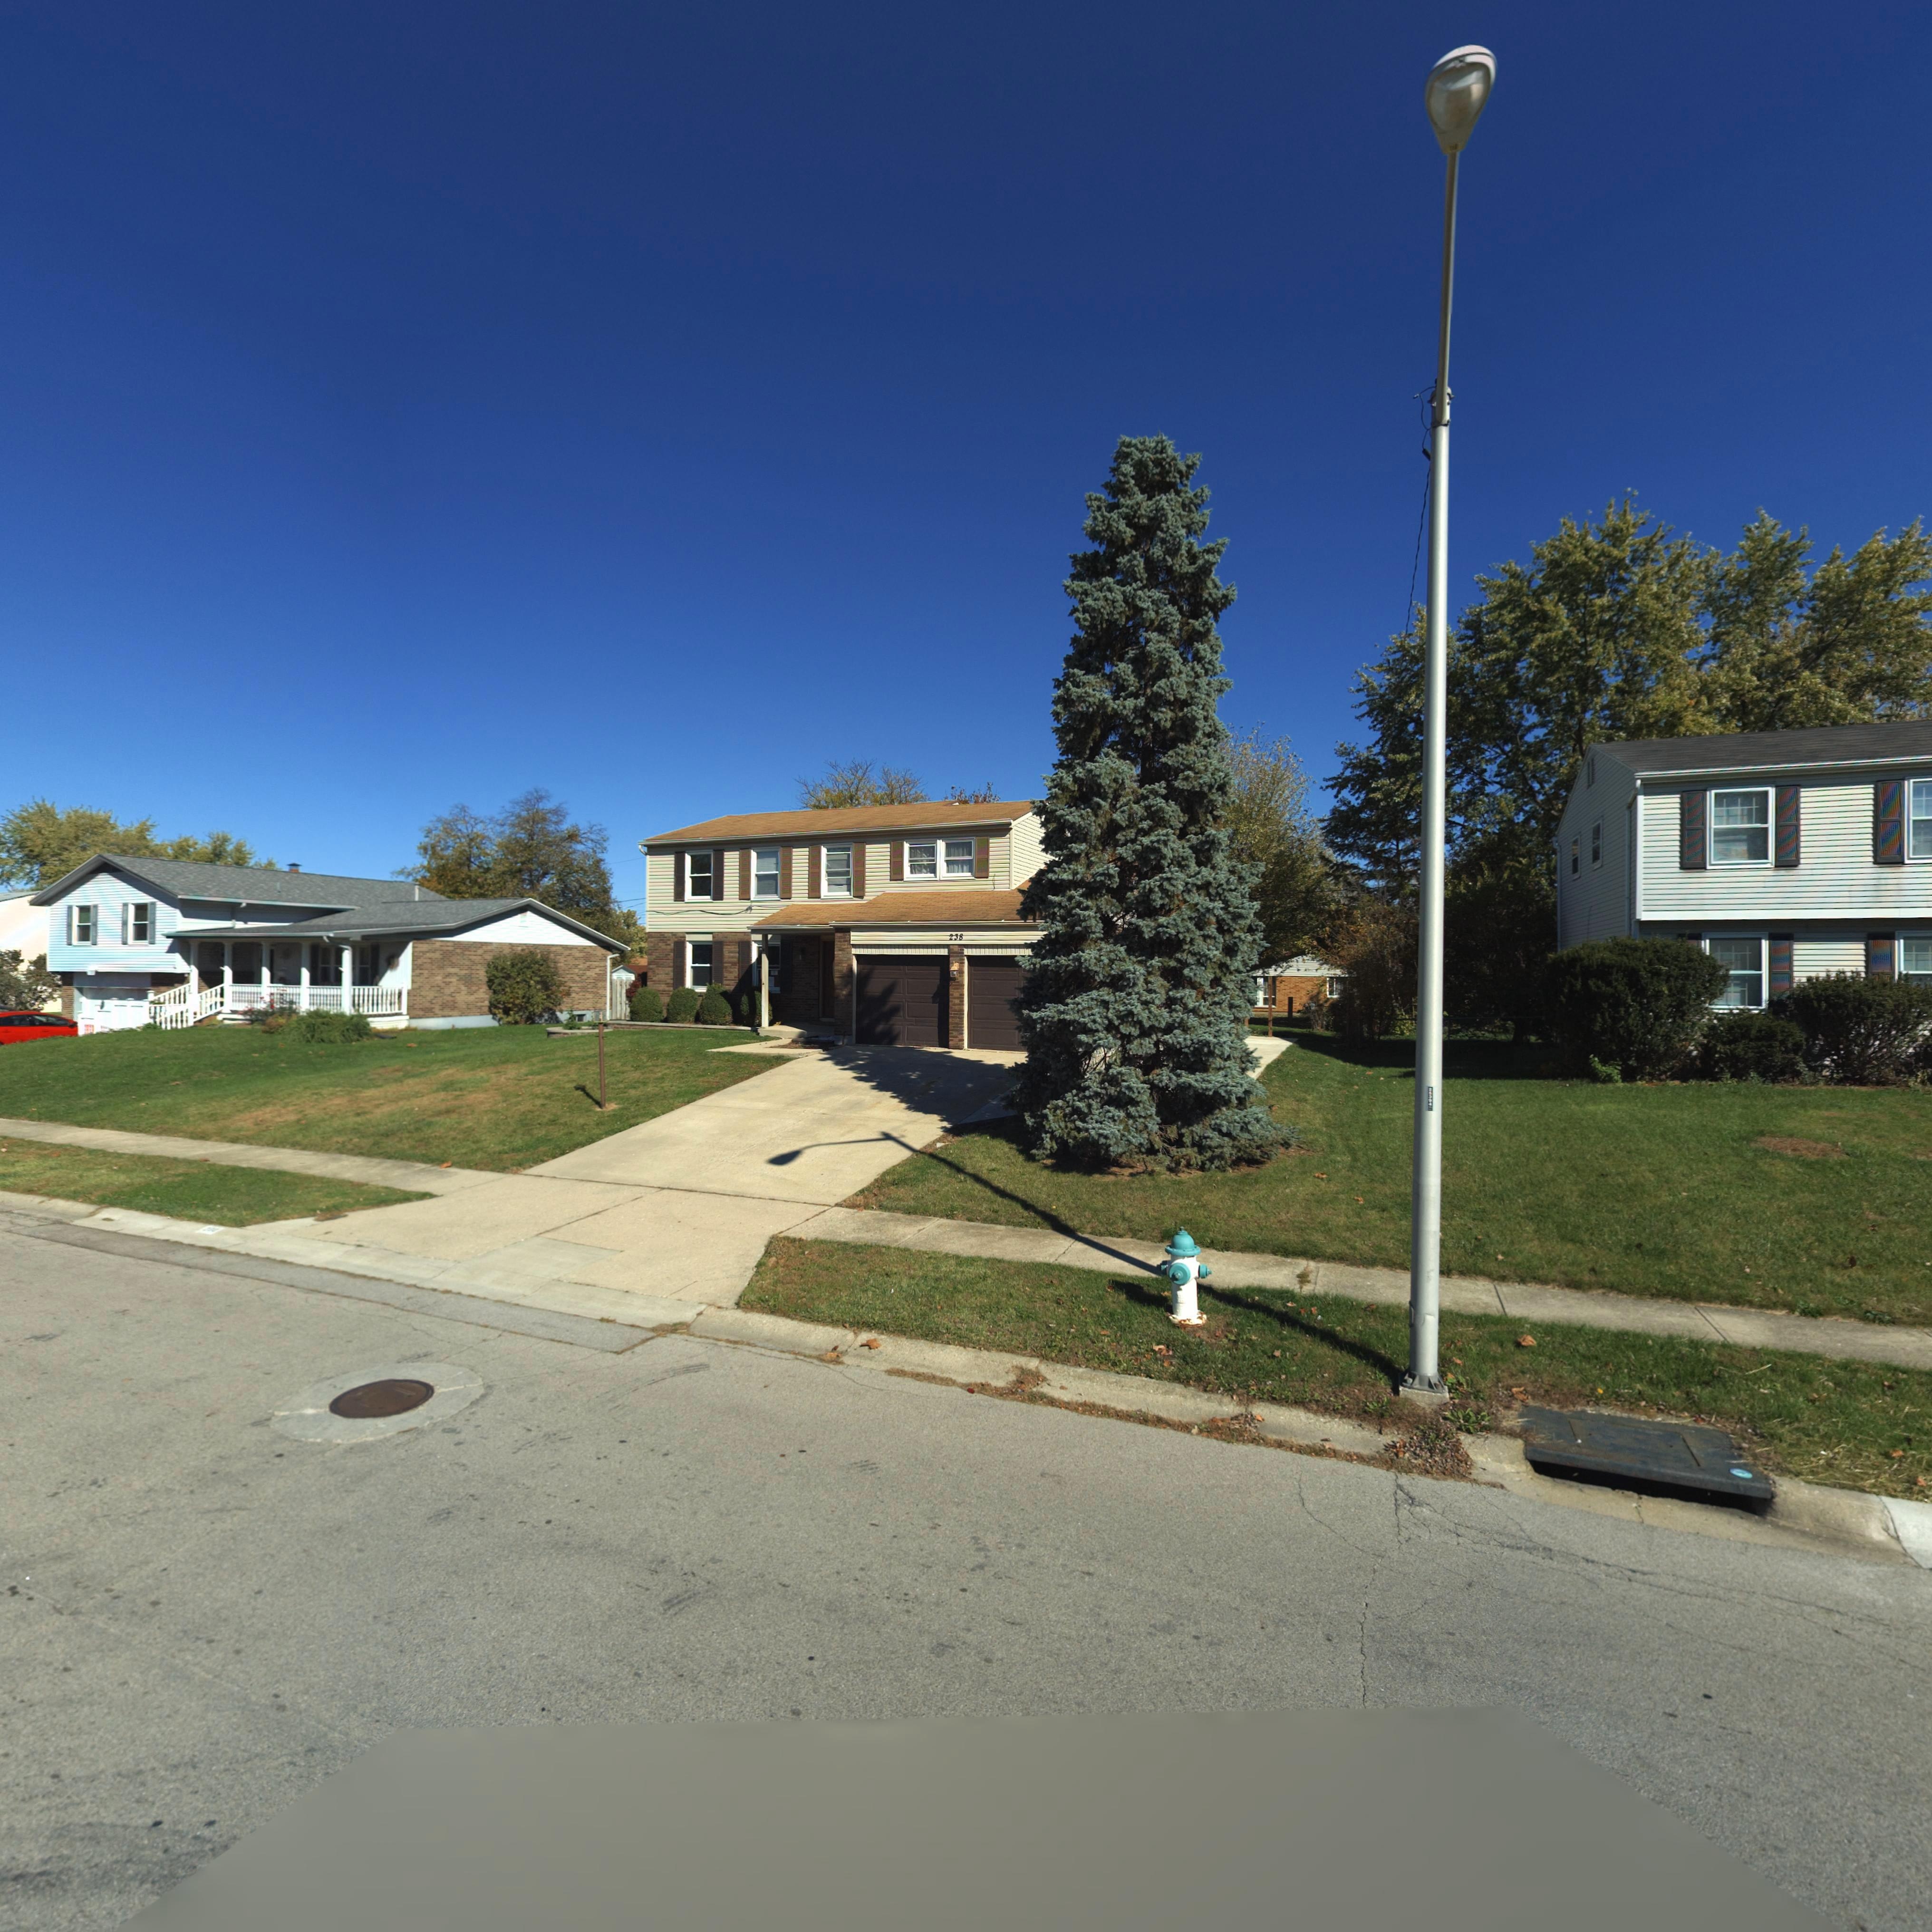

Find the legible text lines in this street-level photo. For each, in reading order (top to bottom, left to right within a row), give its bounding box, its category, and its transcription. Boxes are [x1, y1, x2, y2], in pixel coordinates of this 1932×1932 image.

[948, 933, 964, 941] StreetNumber: 238